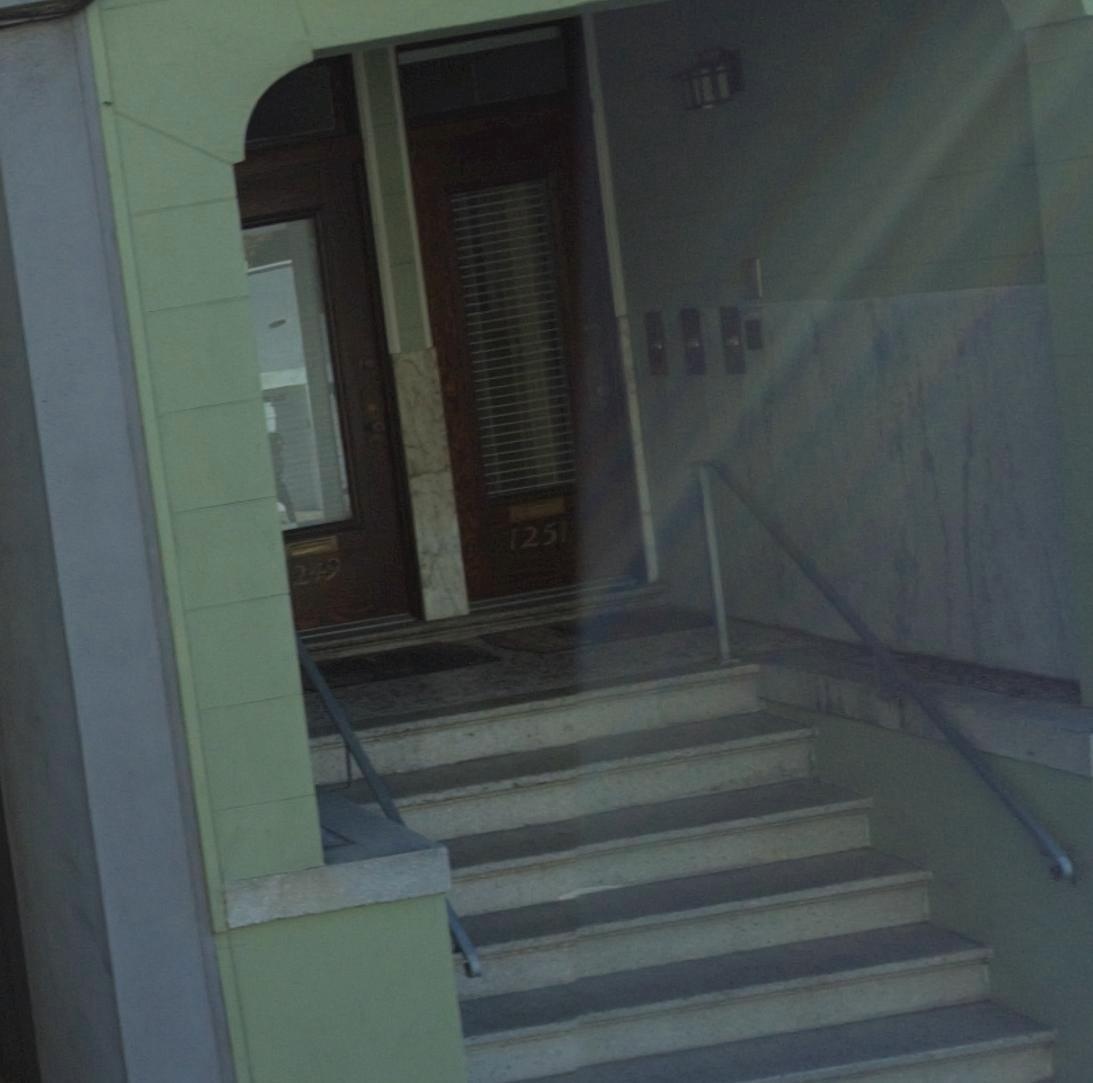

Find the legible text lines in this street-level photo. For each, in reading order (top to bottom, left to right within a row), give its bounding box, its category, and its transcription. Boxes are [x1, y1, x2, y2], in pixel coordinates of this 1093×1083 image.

[507, 517, 570, 554] StreetNumber: 1251
[288, 554, 344, 591] StreetNumber: 249